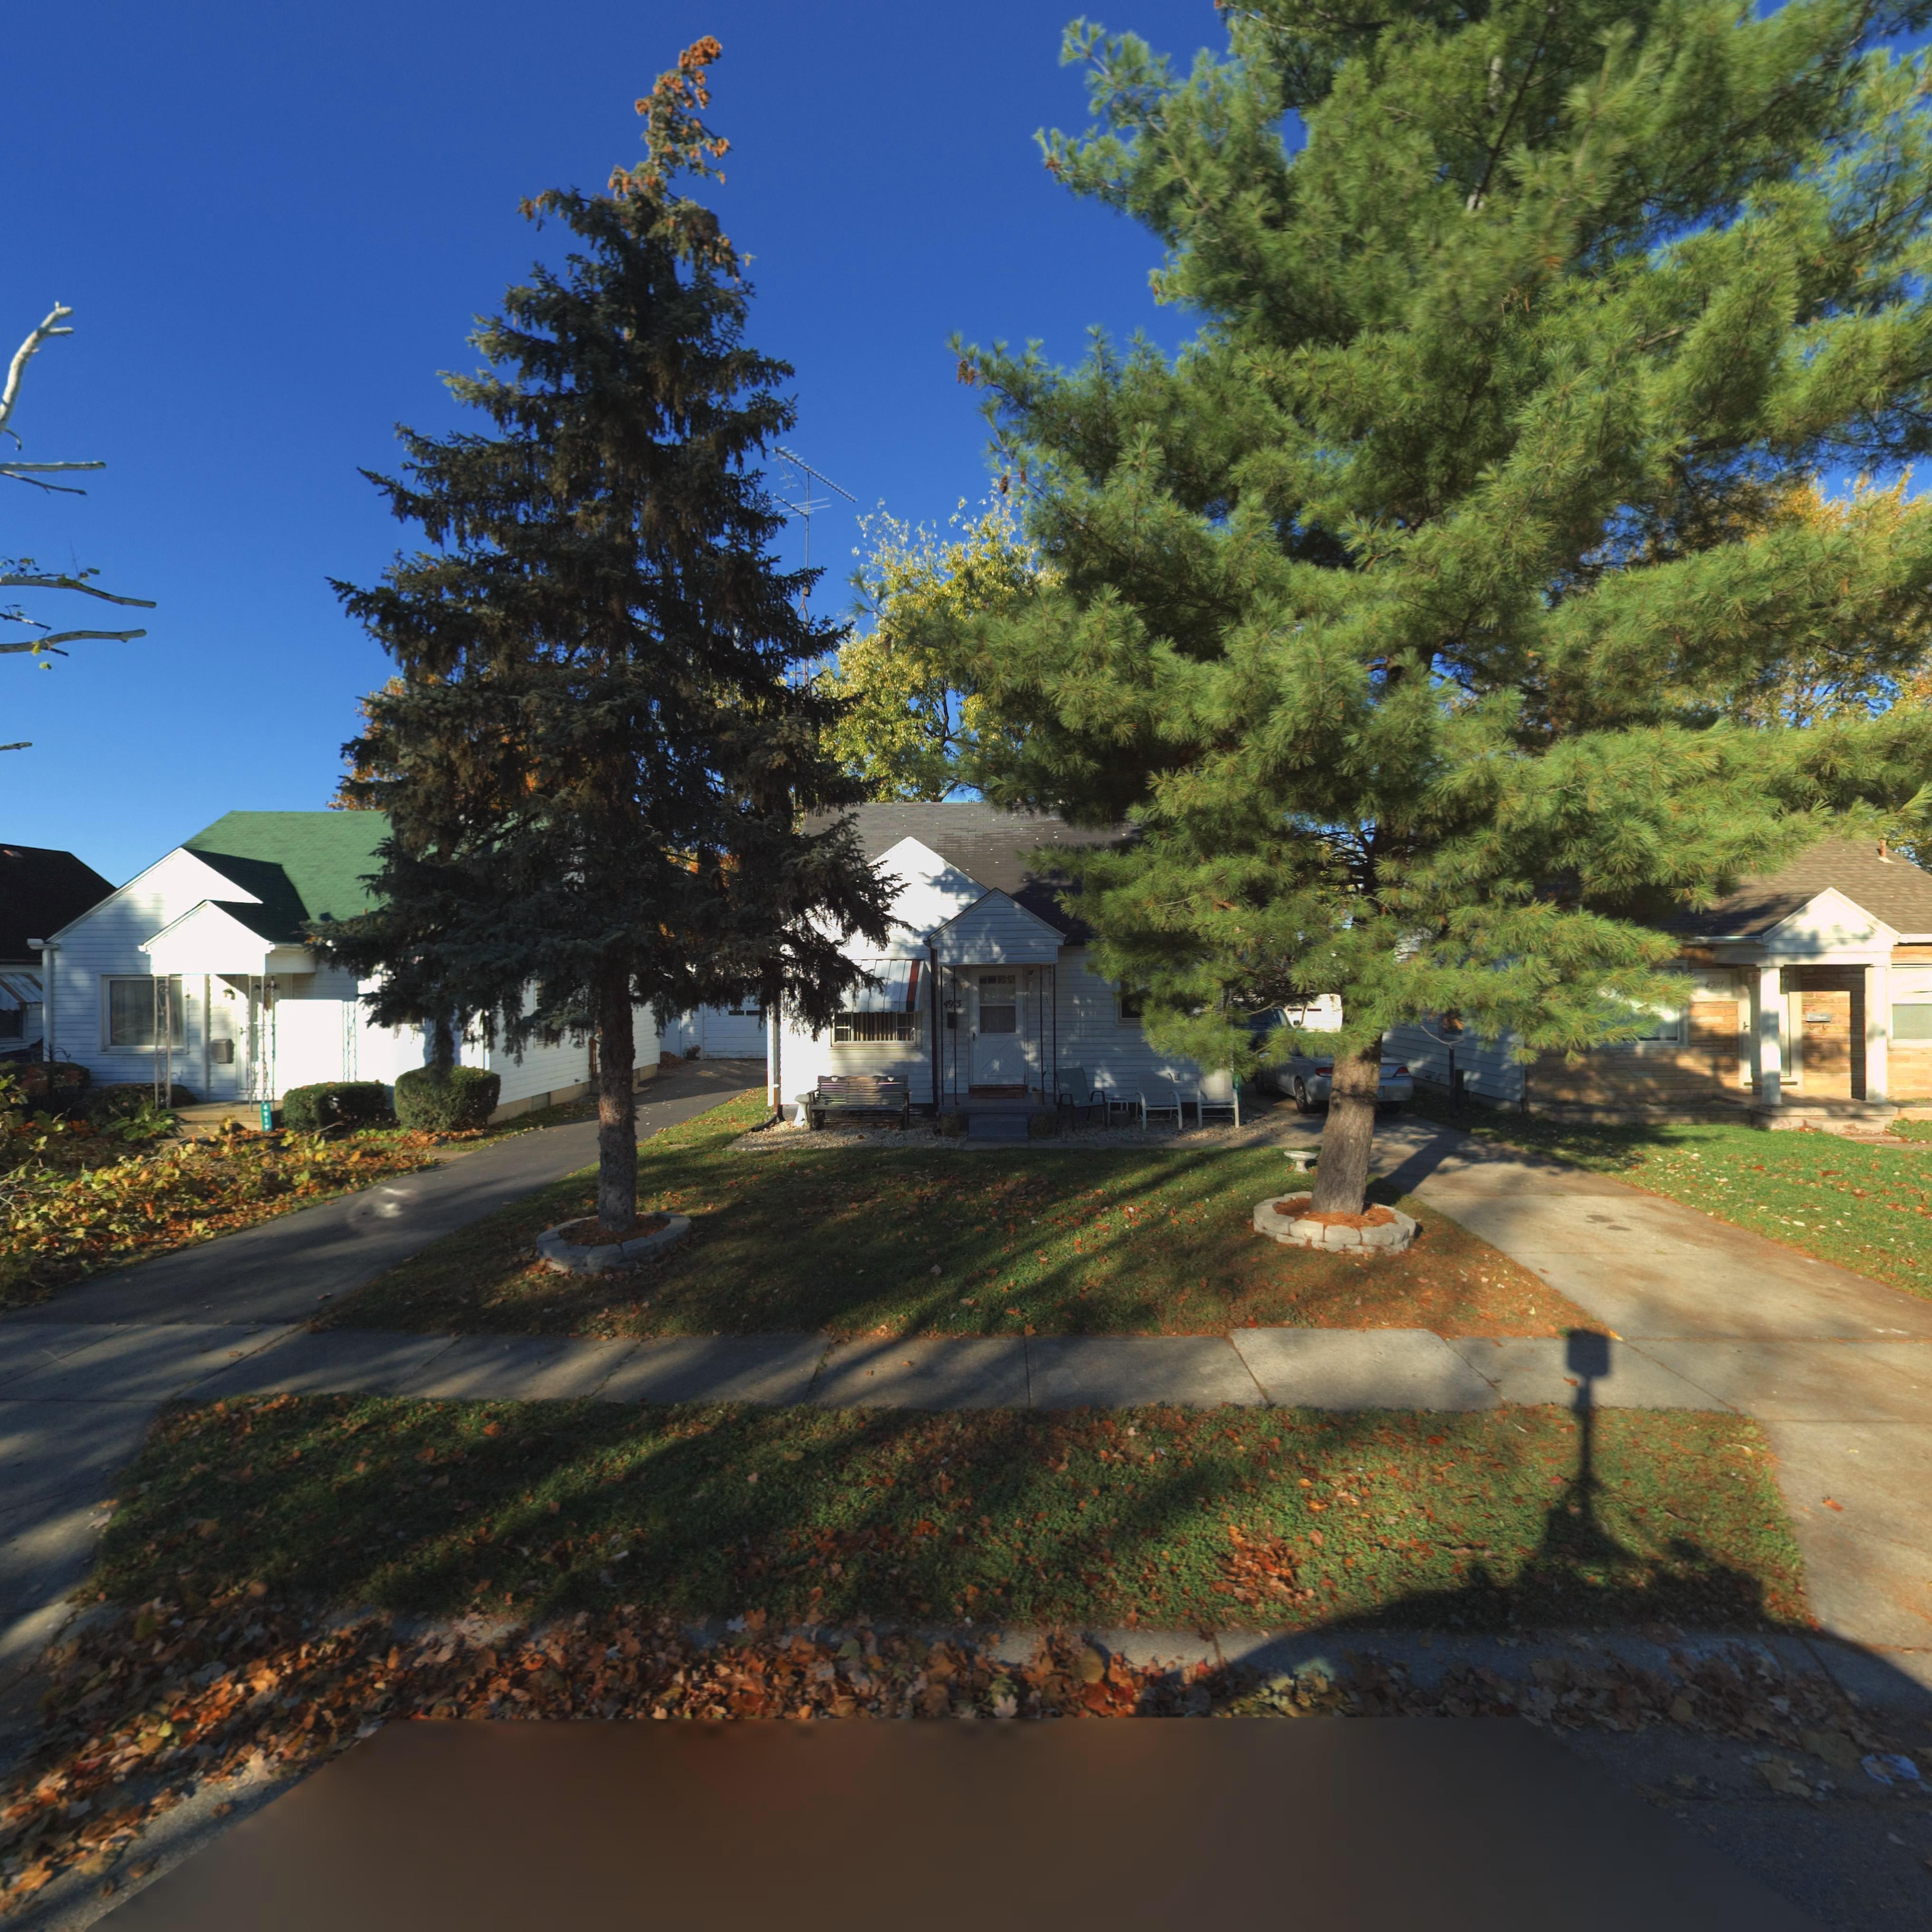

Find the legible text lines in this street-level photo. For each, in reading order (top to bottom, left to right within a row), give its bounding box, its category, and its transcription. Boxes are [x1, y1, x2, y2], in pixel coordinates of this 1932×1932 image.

[1703, 979, 1725, 990] StreetNumber: 4911
[942, 999, 963, 1009] StreetNumber: 49*5
[261, 1102, 270, 1131] StreetNumber: *91*